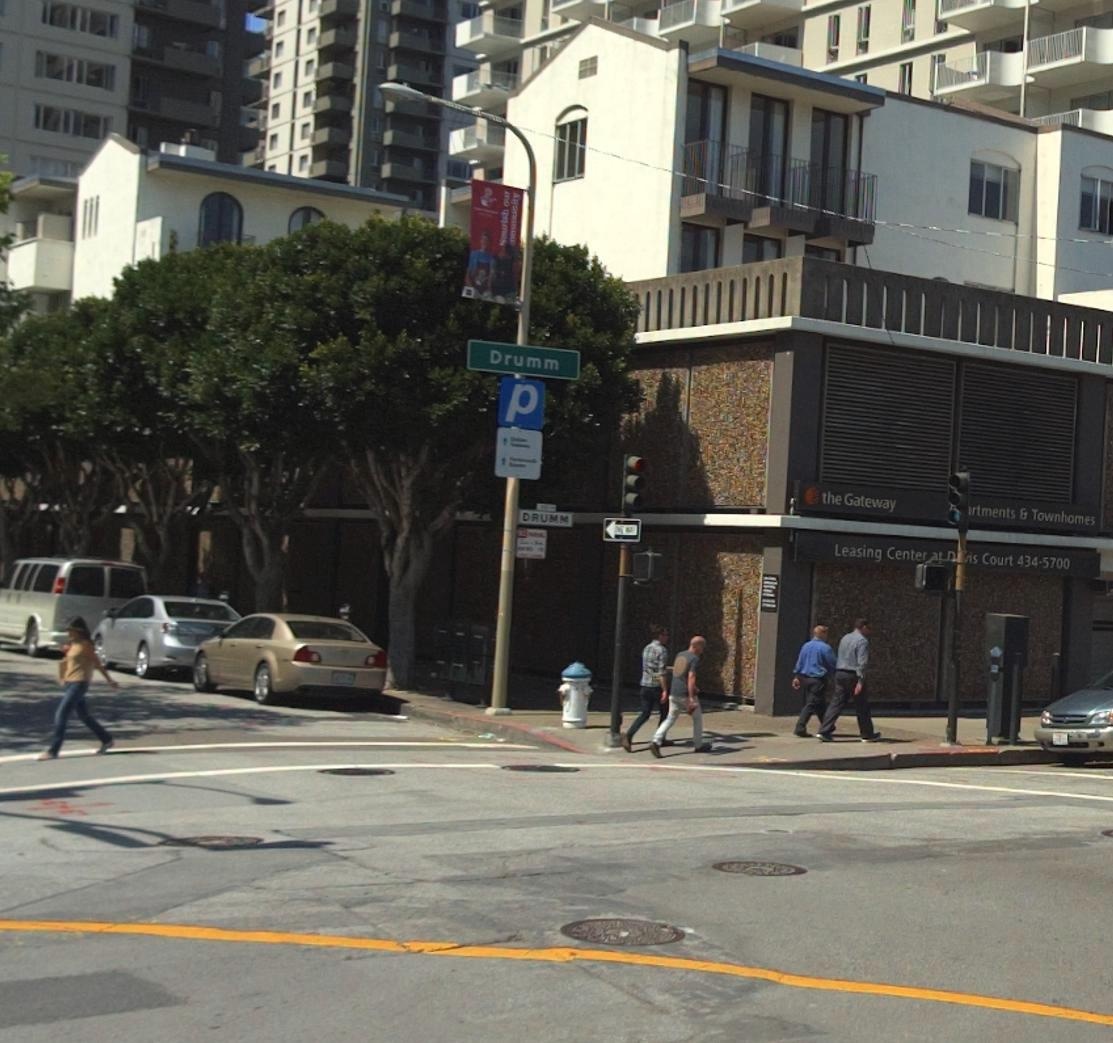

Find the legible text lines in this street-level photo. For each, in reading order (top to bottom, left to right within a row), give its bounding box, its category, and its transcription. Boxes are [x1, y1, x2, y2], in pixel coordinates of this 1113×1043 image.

[488, 348, 560, 372] StreetName: Drumm
[499, 380, 542, 425] None: p
[821, 489, 900, 514] BusinessName: the Gateway
[523, 512, 570, 524] StreetName: DRUMM
[972, 503, 1096, 527] BusinessName: rtments & Townhomes
[833, 542, 929, 564] None: Leasing Center
[981, 550, 1073, 570] None: Court 434-5700